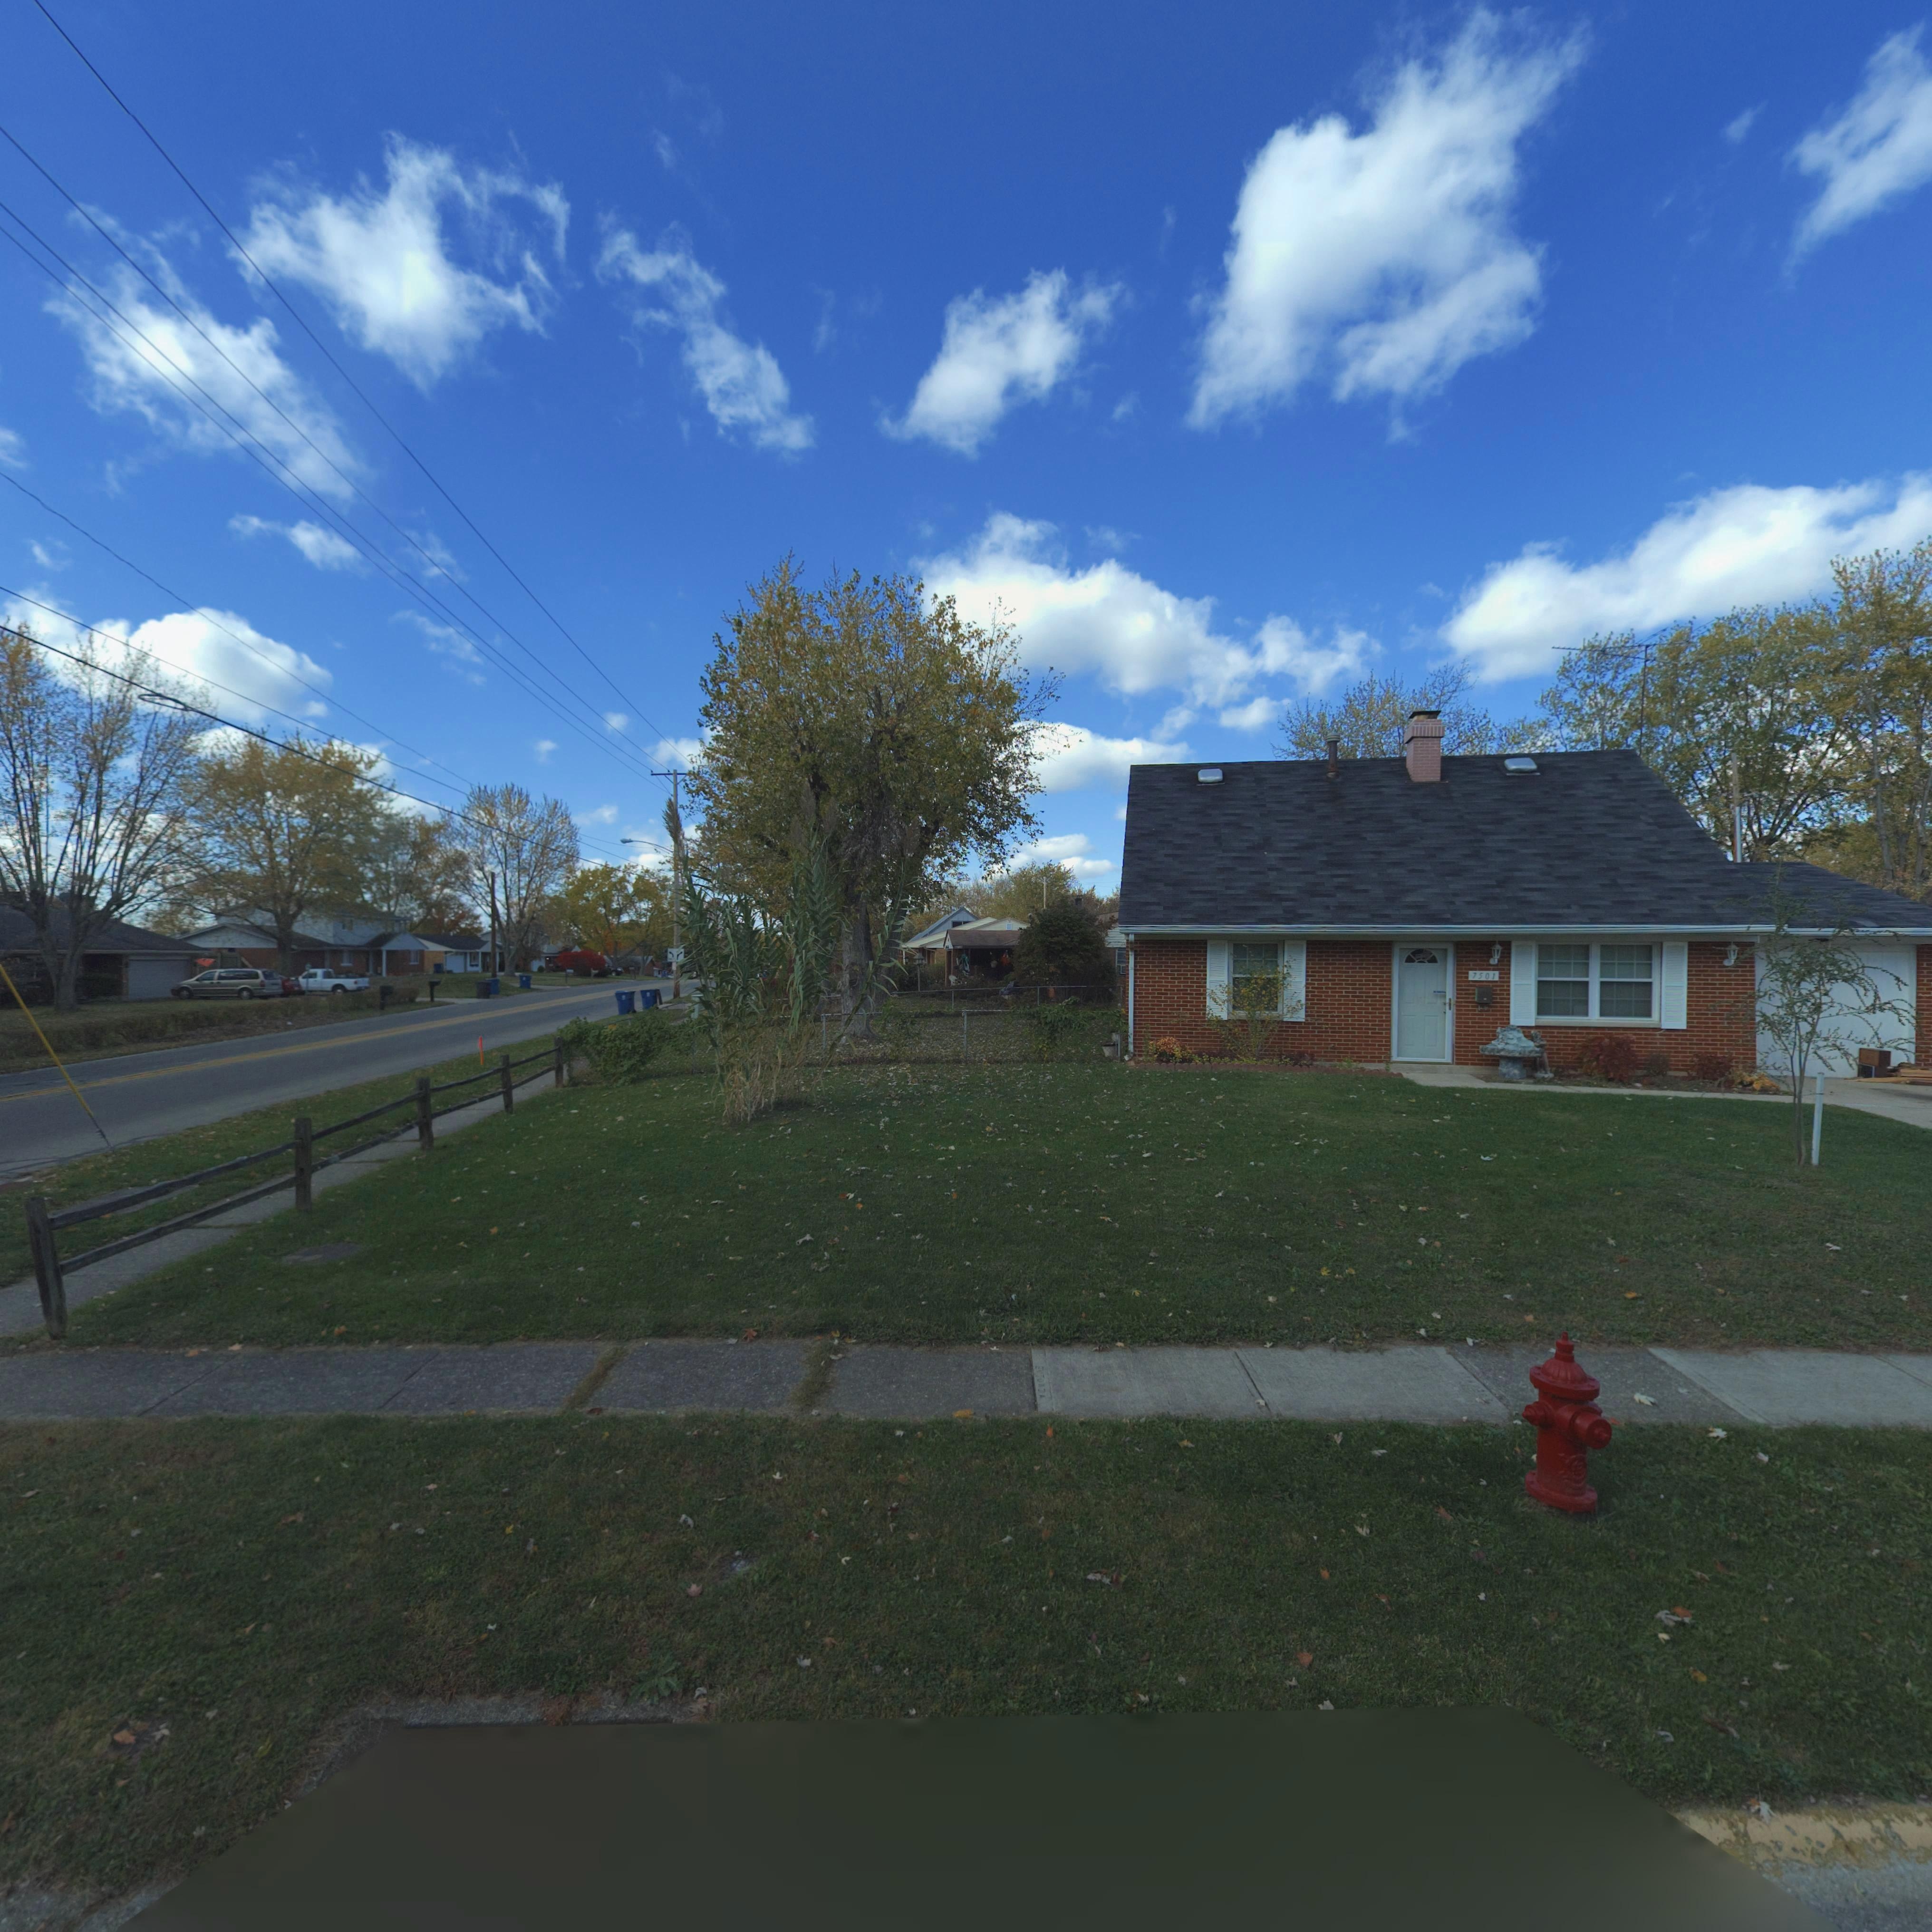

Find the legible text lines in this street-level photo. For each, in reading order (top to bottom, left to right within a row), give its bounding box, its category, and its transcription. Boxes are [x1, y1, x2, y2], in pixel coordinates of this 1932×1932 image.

[1471, 972, 1495, 980] StreetNumber: 7501